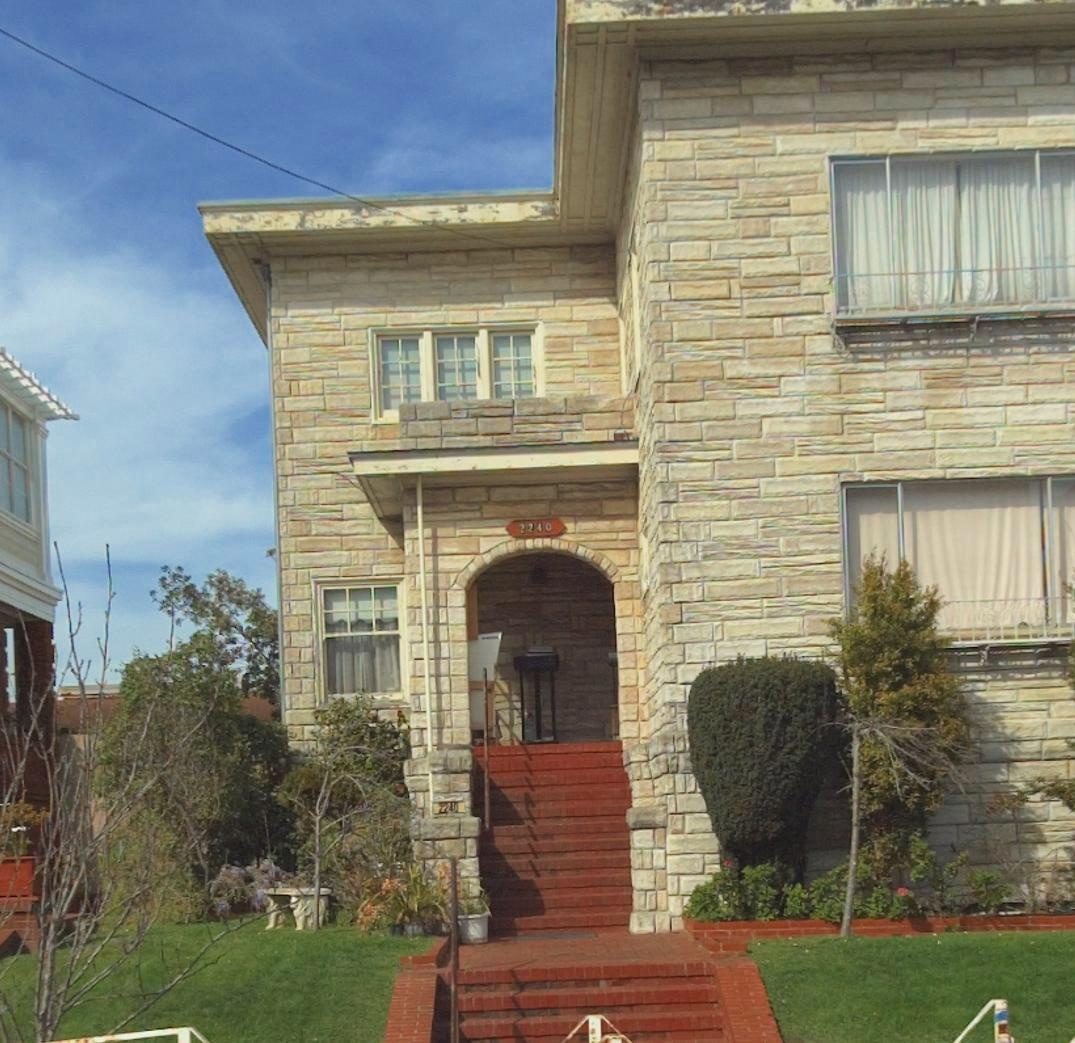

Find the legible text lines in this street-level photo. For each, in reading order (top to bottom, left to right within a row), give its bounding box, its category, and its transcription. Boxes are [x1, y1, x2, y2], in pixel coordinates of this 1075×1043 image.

[516, 520, 553, 535] StreetNumber: 2240